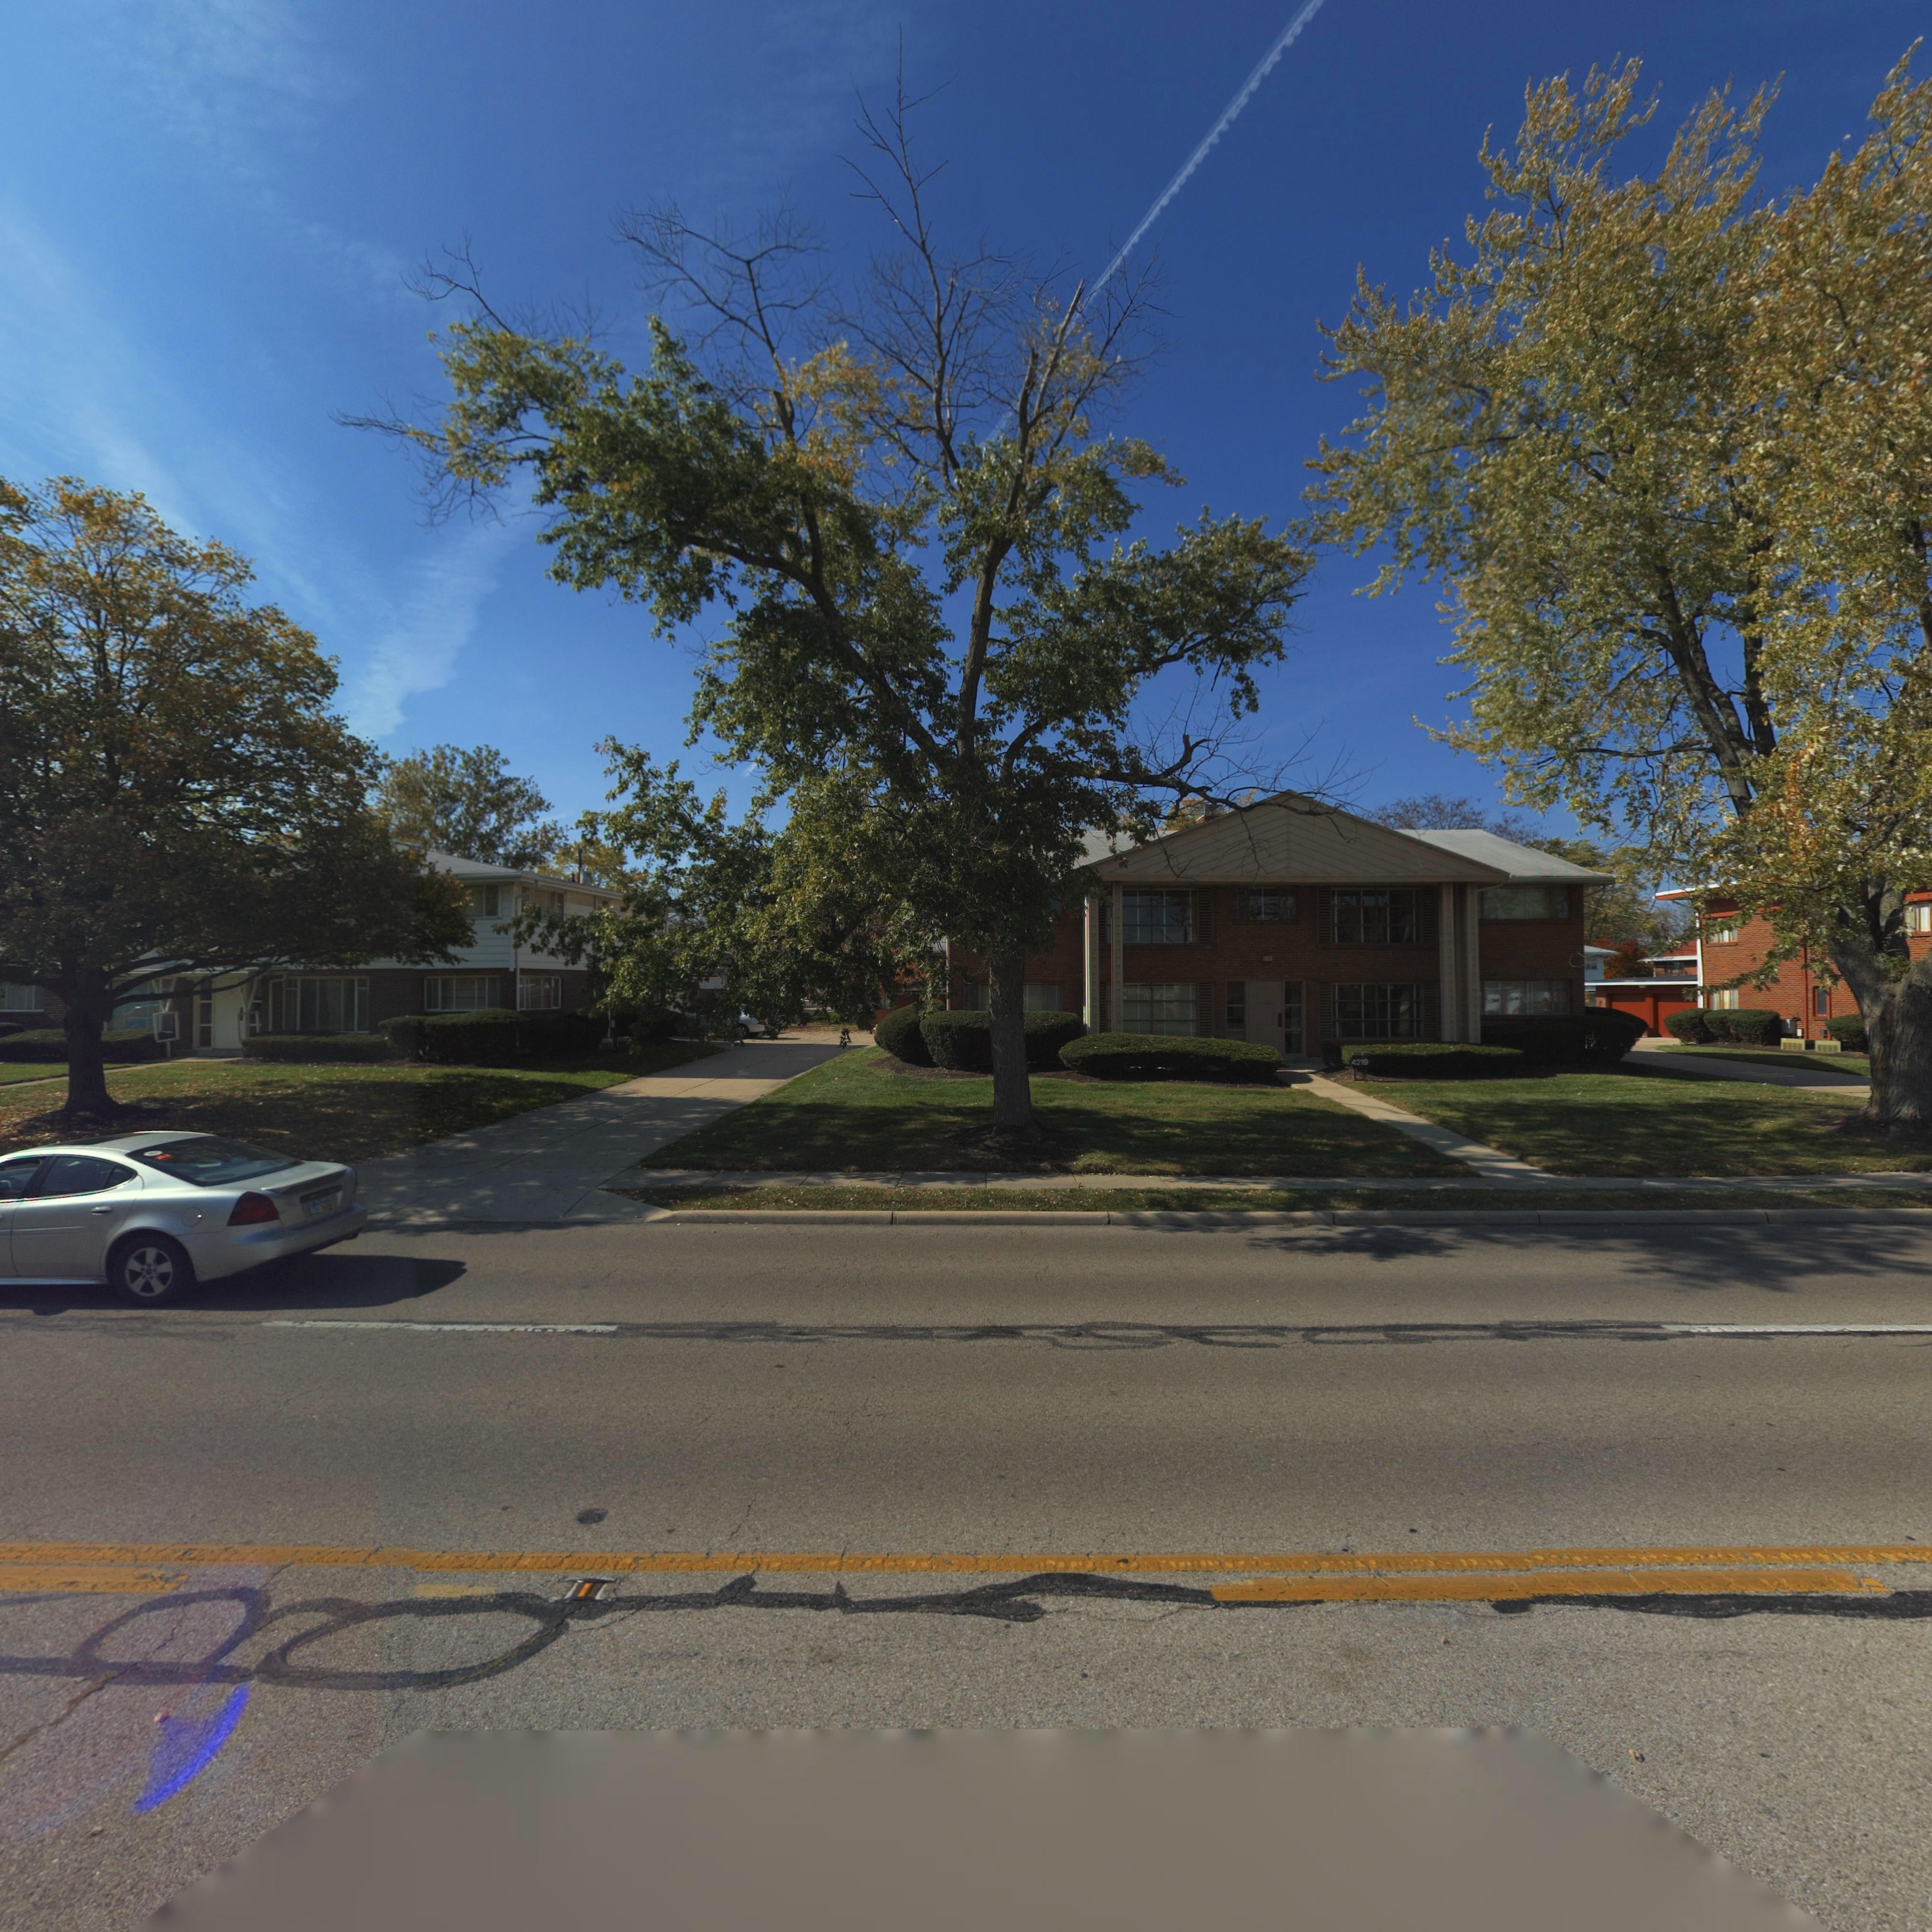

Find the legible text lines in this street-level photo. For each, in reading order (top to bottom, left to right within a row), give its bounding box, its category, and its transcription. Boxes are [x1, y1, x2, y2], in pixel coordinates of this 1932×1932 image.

[1351, 1059, 1369, 1065] StreetNumber: 4219